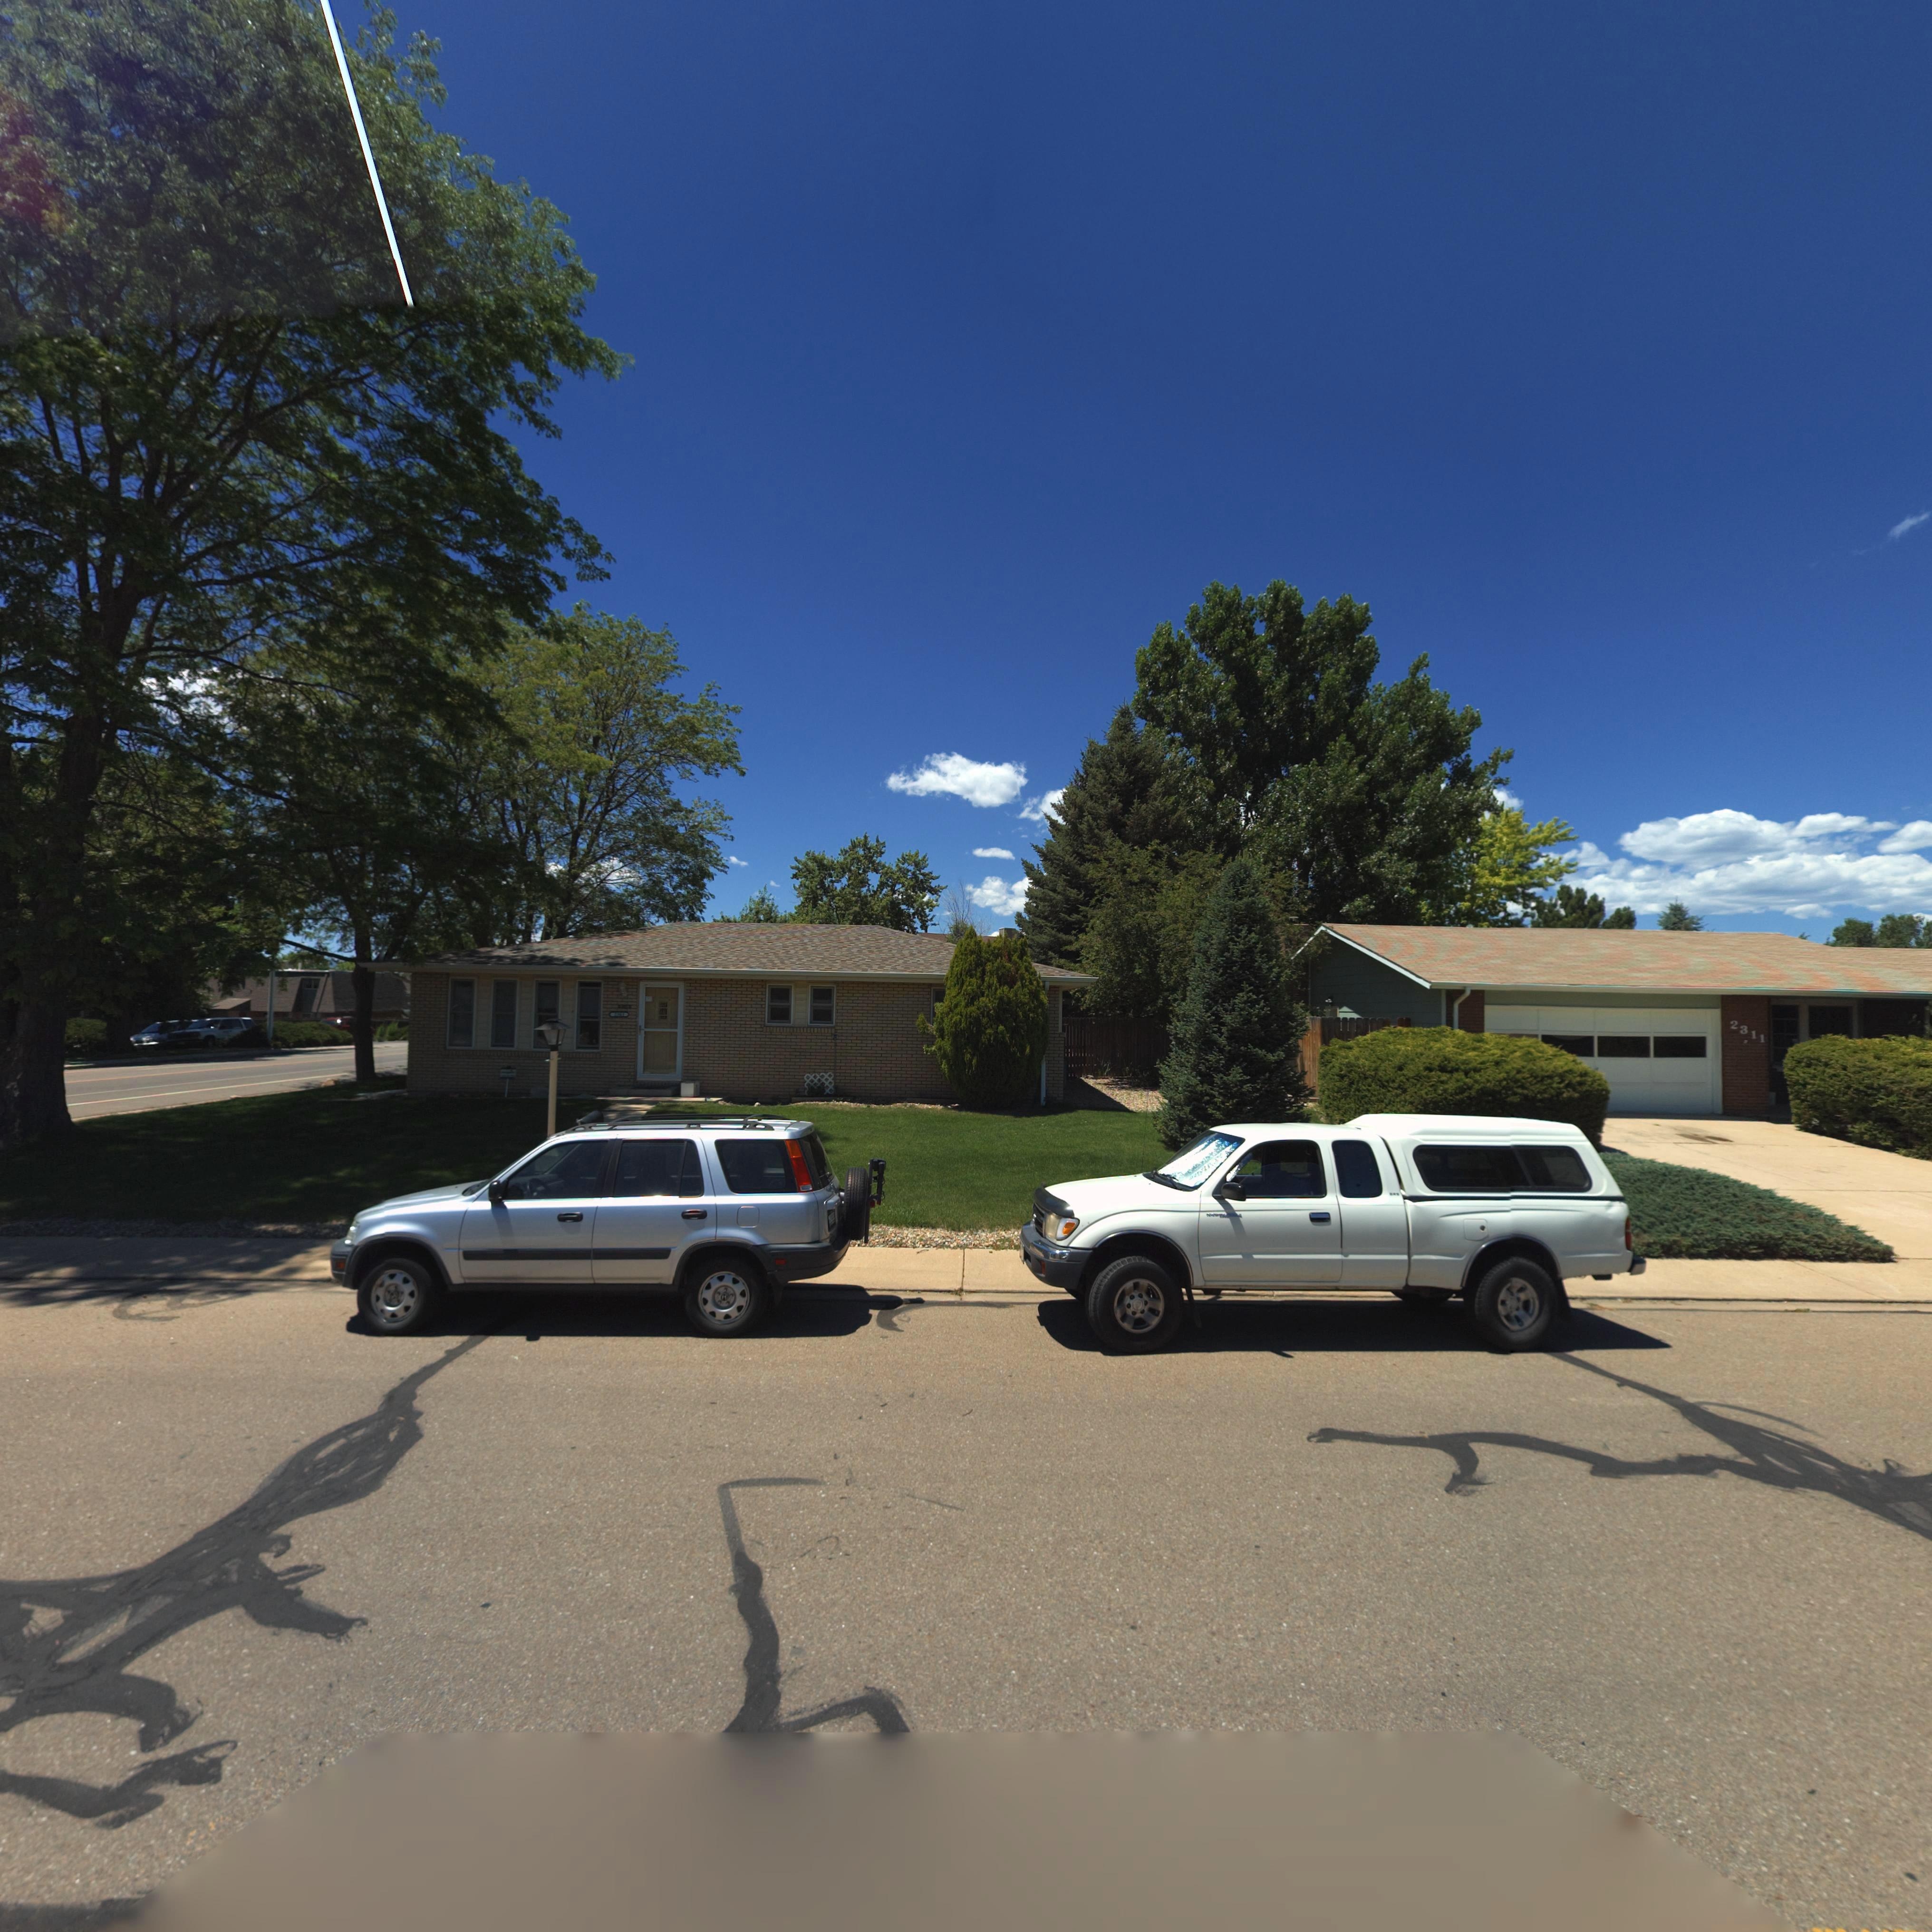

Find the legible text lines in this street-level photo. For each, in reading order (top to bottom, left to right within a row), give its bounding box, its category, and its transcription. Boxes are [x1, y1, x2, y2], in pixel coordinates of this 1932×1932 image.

[613, 1012, 625, 1016] StreetName: 2***
[1729, 1019, 1765, 1043] StreetNumber: 2311